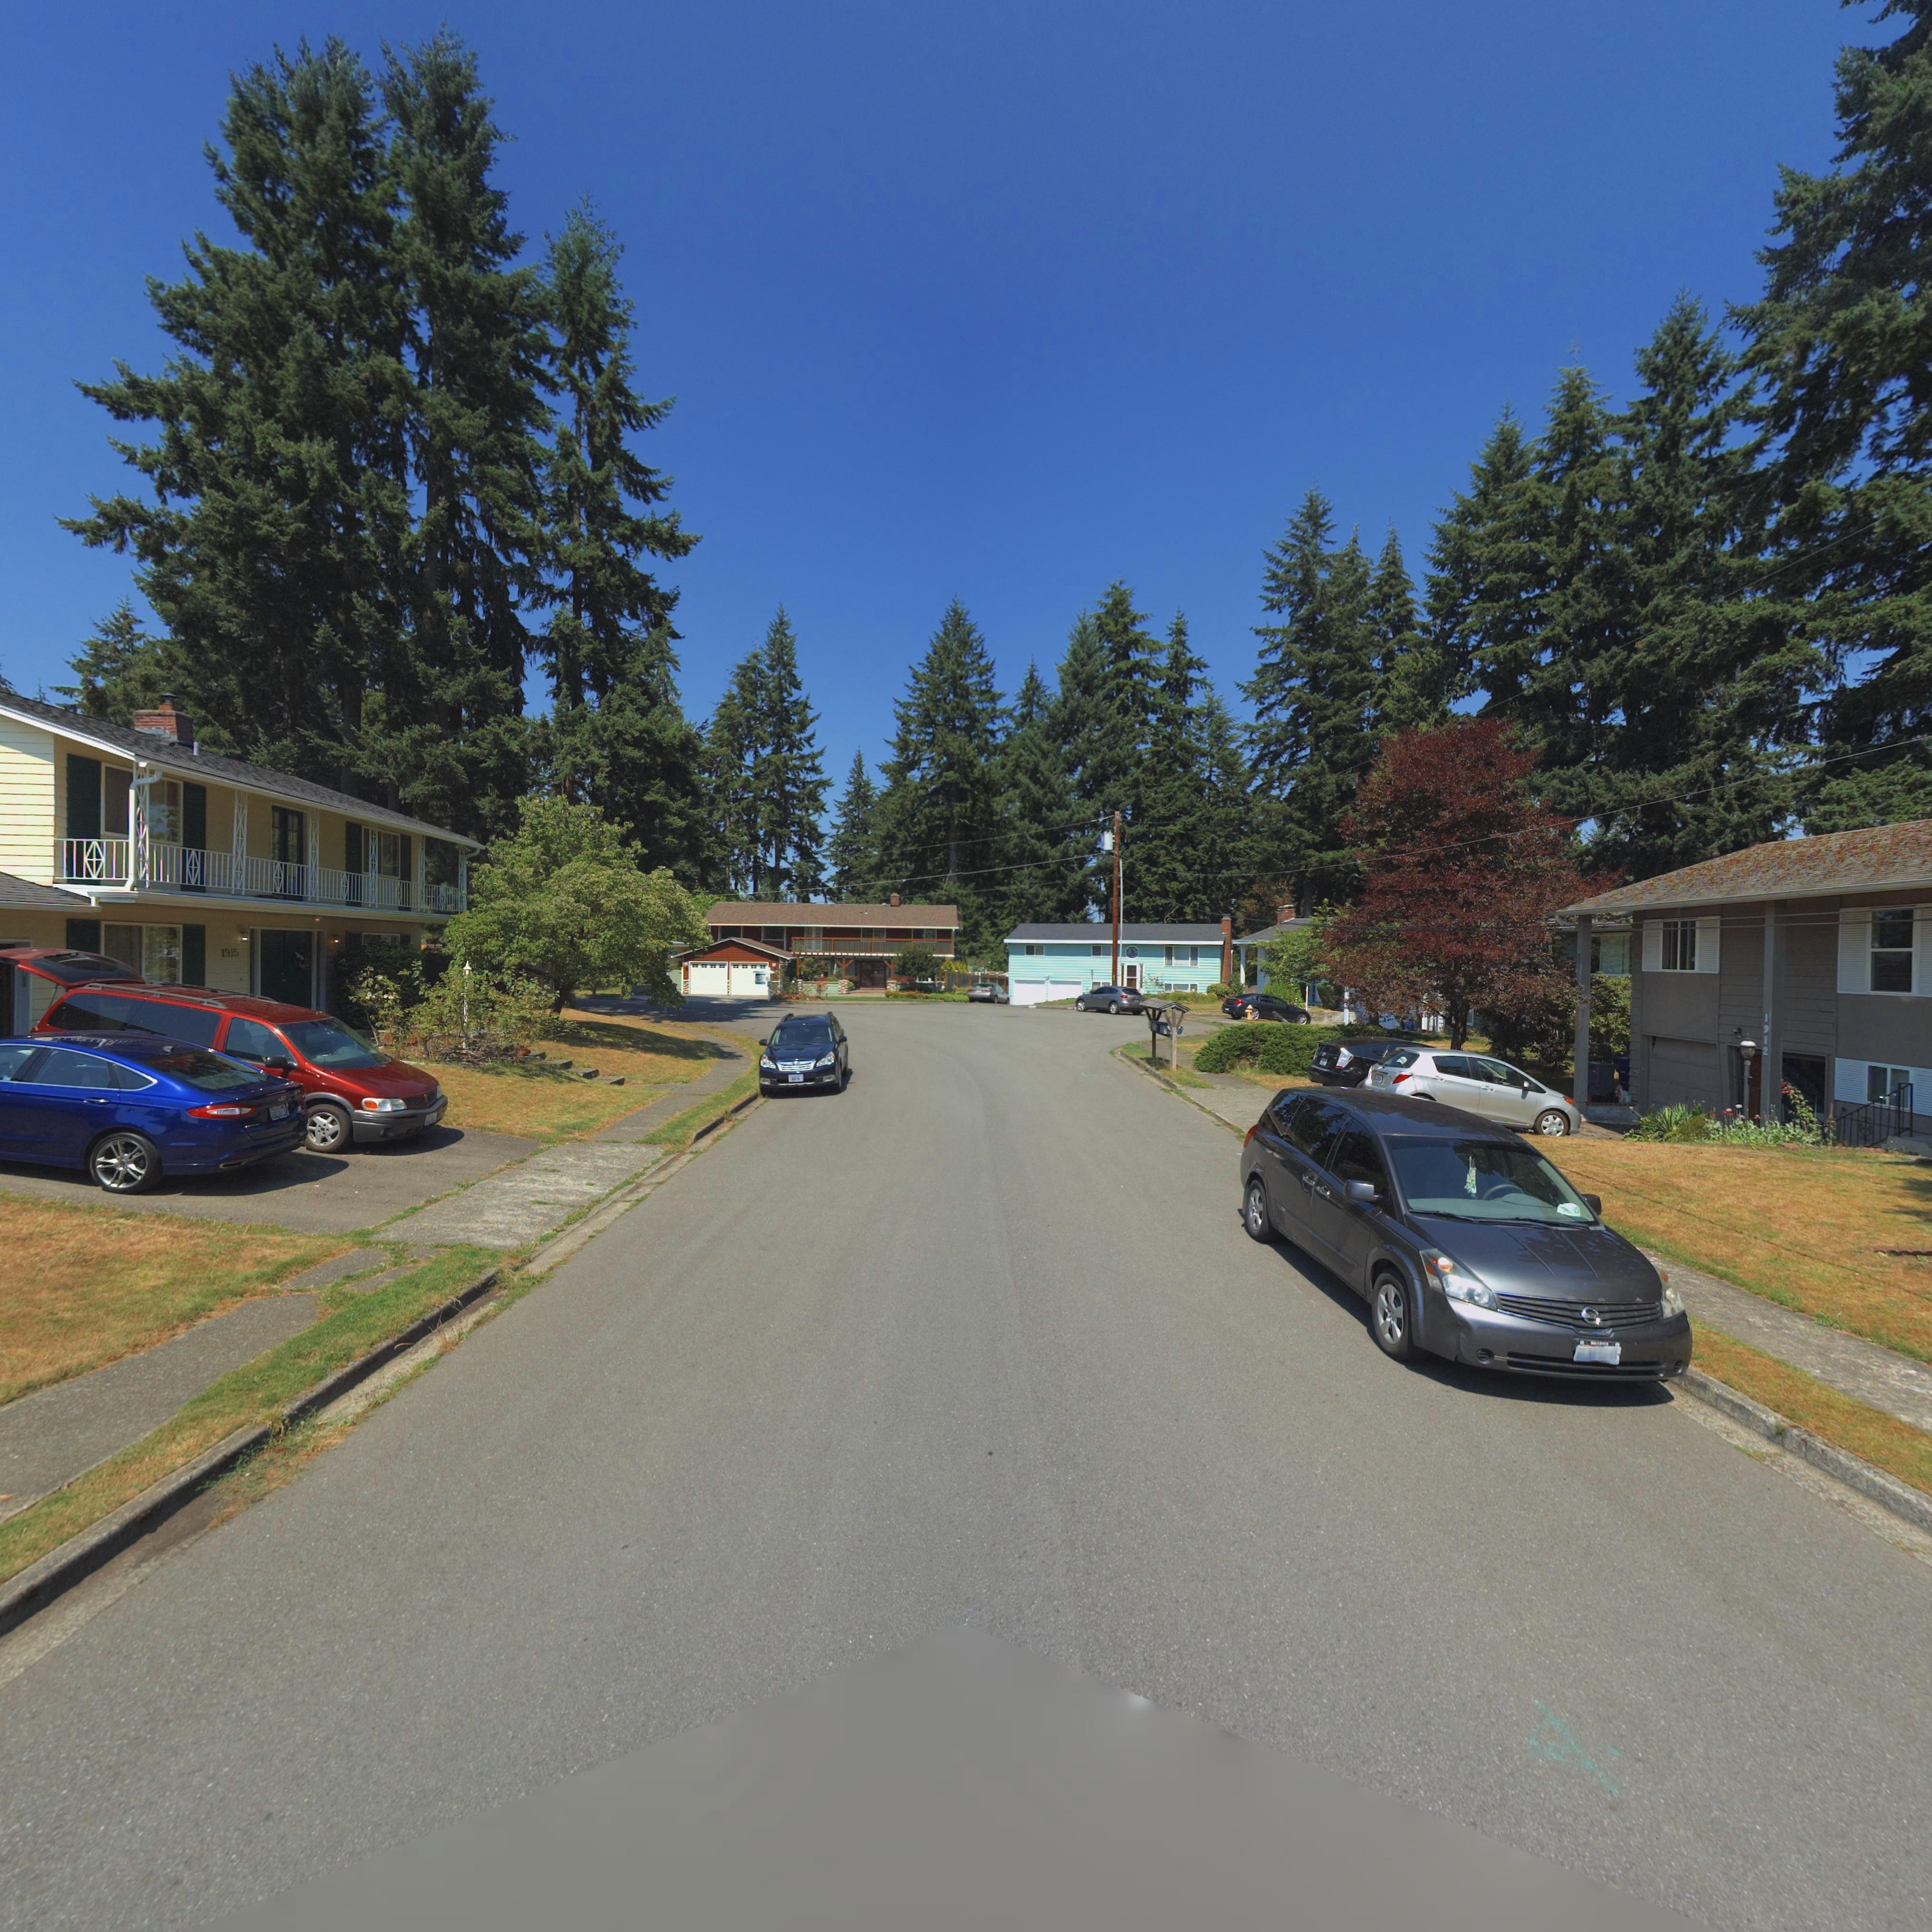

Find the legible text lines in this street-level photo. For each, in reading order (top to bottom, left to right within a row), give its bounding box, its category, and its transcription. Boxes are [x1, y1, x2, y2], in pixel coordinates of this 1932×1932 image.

[221, 947, 239, 957] StreetNumber: 1915
[1762, 1013, 1769, 1056] StreetNumber: 1912